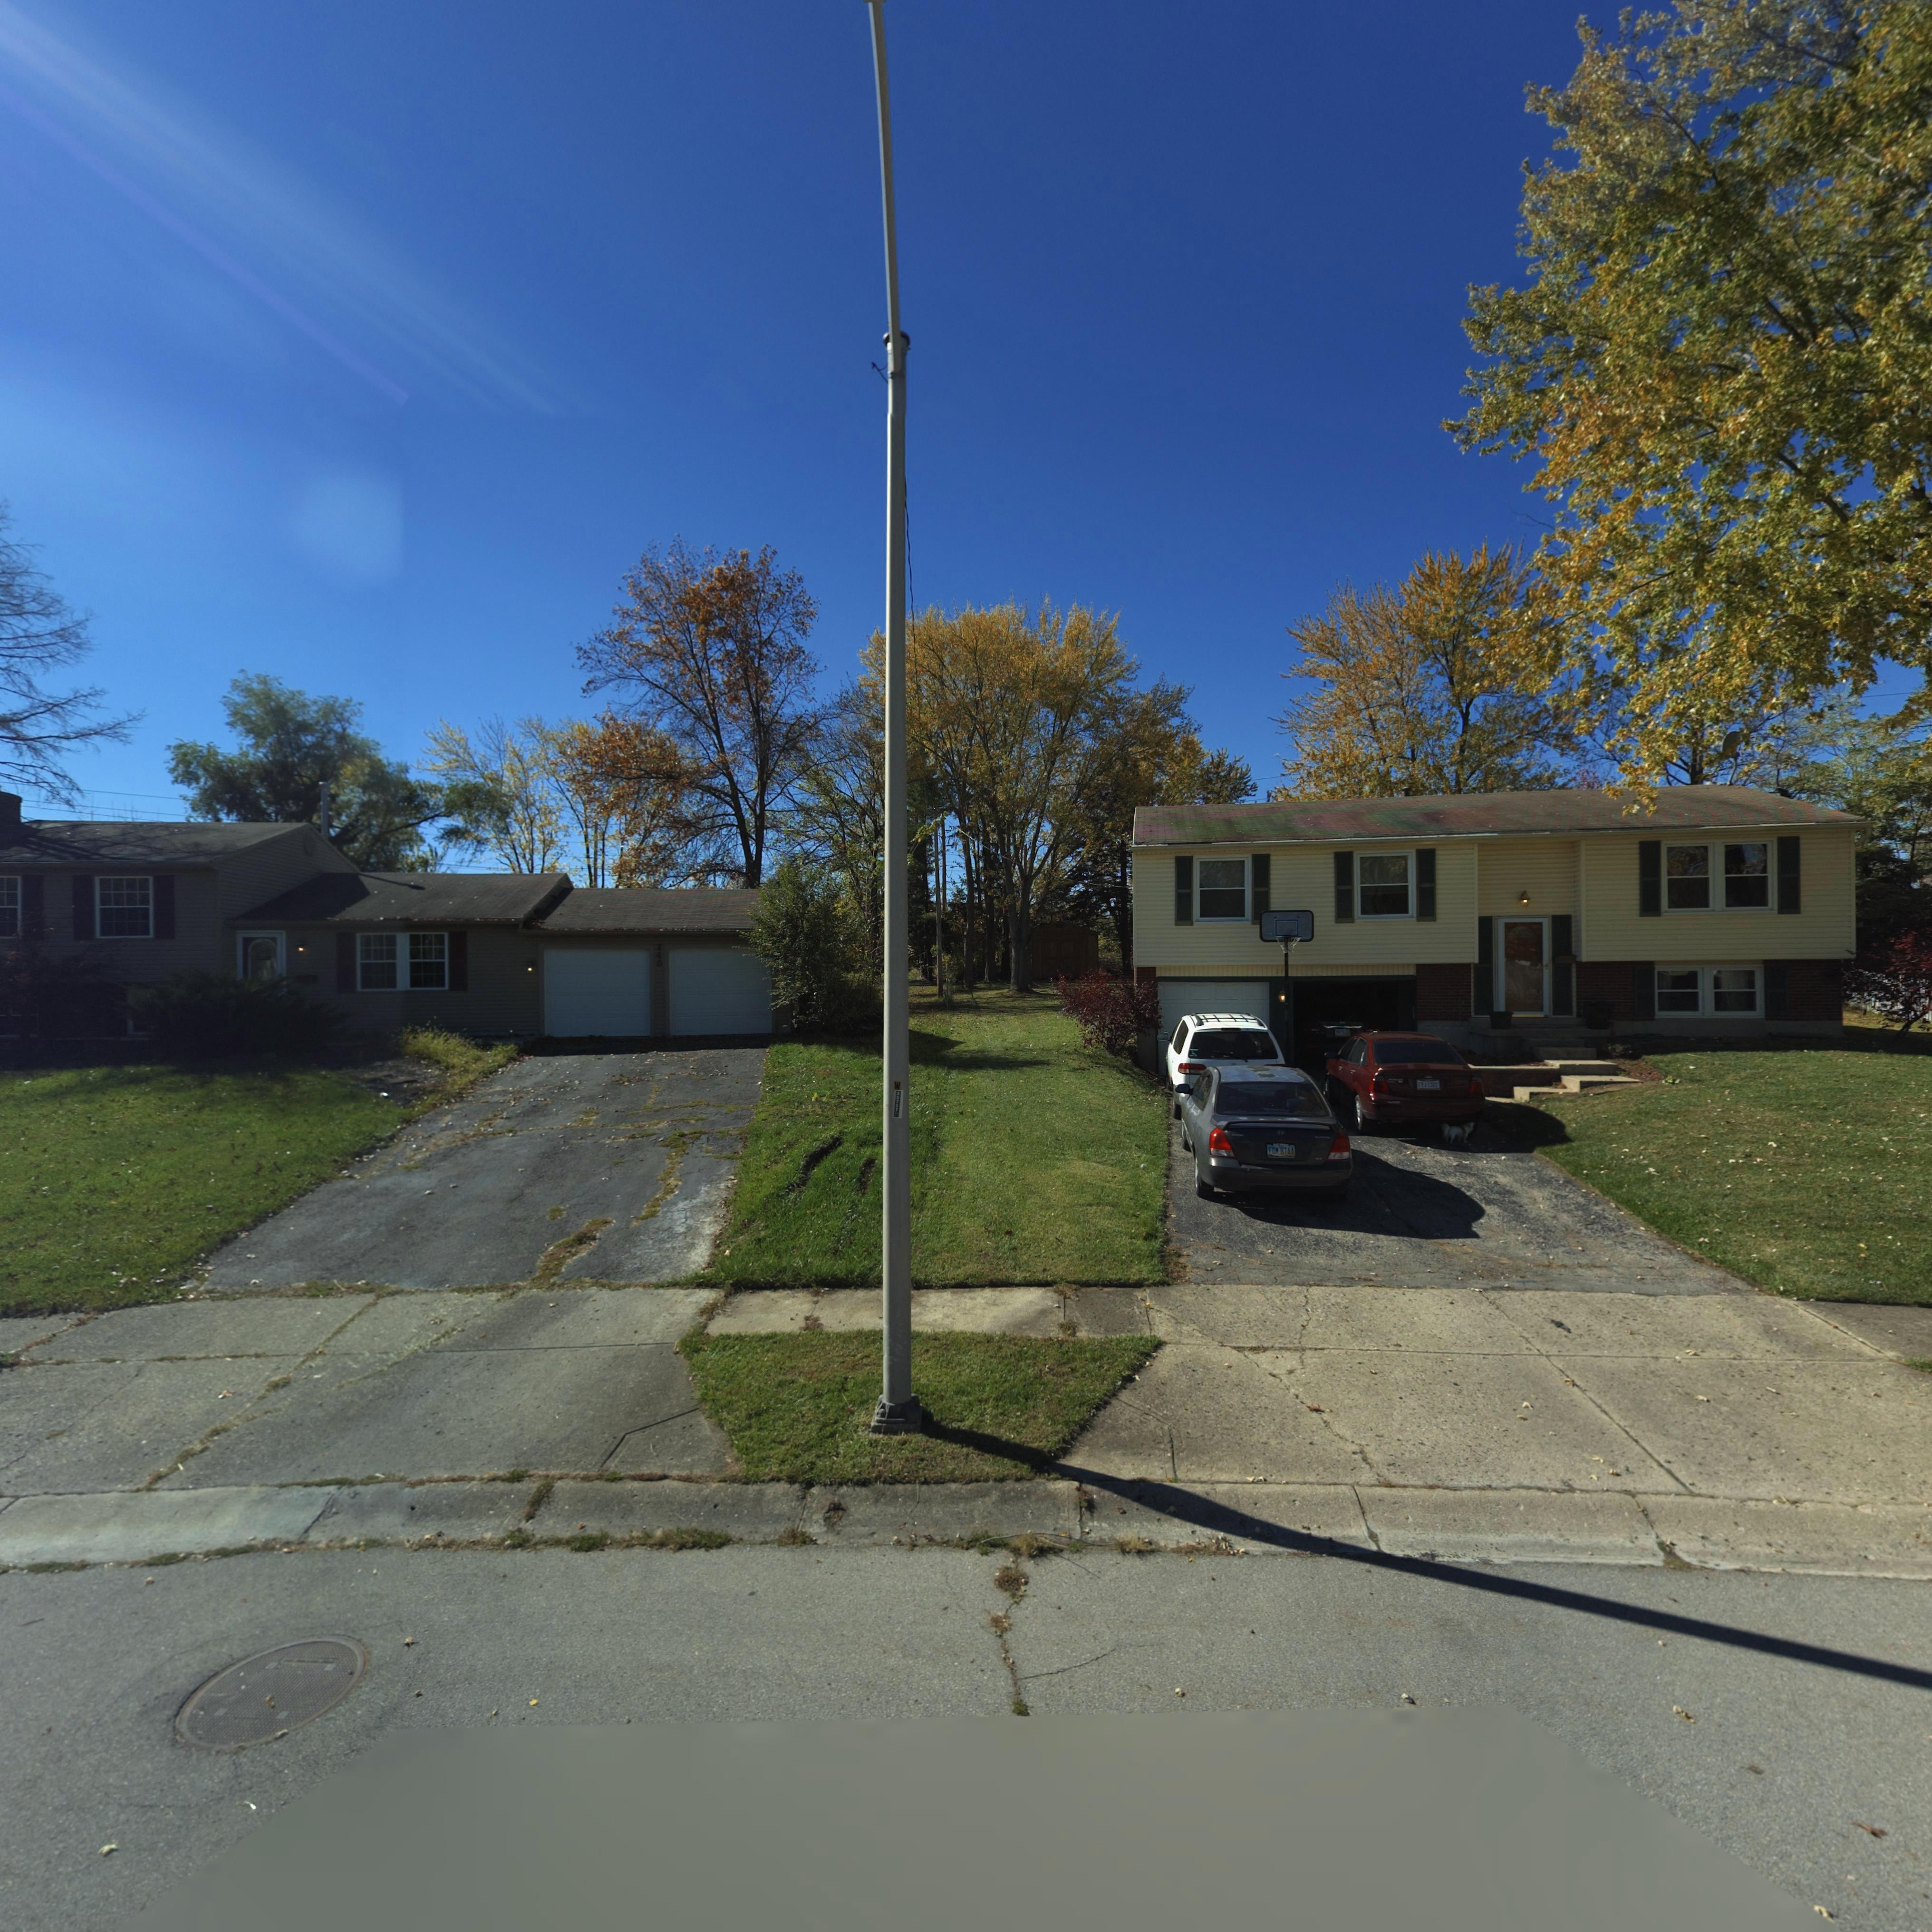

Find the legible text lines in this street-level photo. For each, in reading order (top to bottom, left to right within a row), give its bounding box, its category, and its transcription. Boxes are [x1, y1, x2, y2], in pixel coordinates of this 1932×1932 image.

[656, 944, 663, 967] StreetNumber: 240
[1275, 967, 1284, 975] StreetNumber: 21